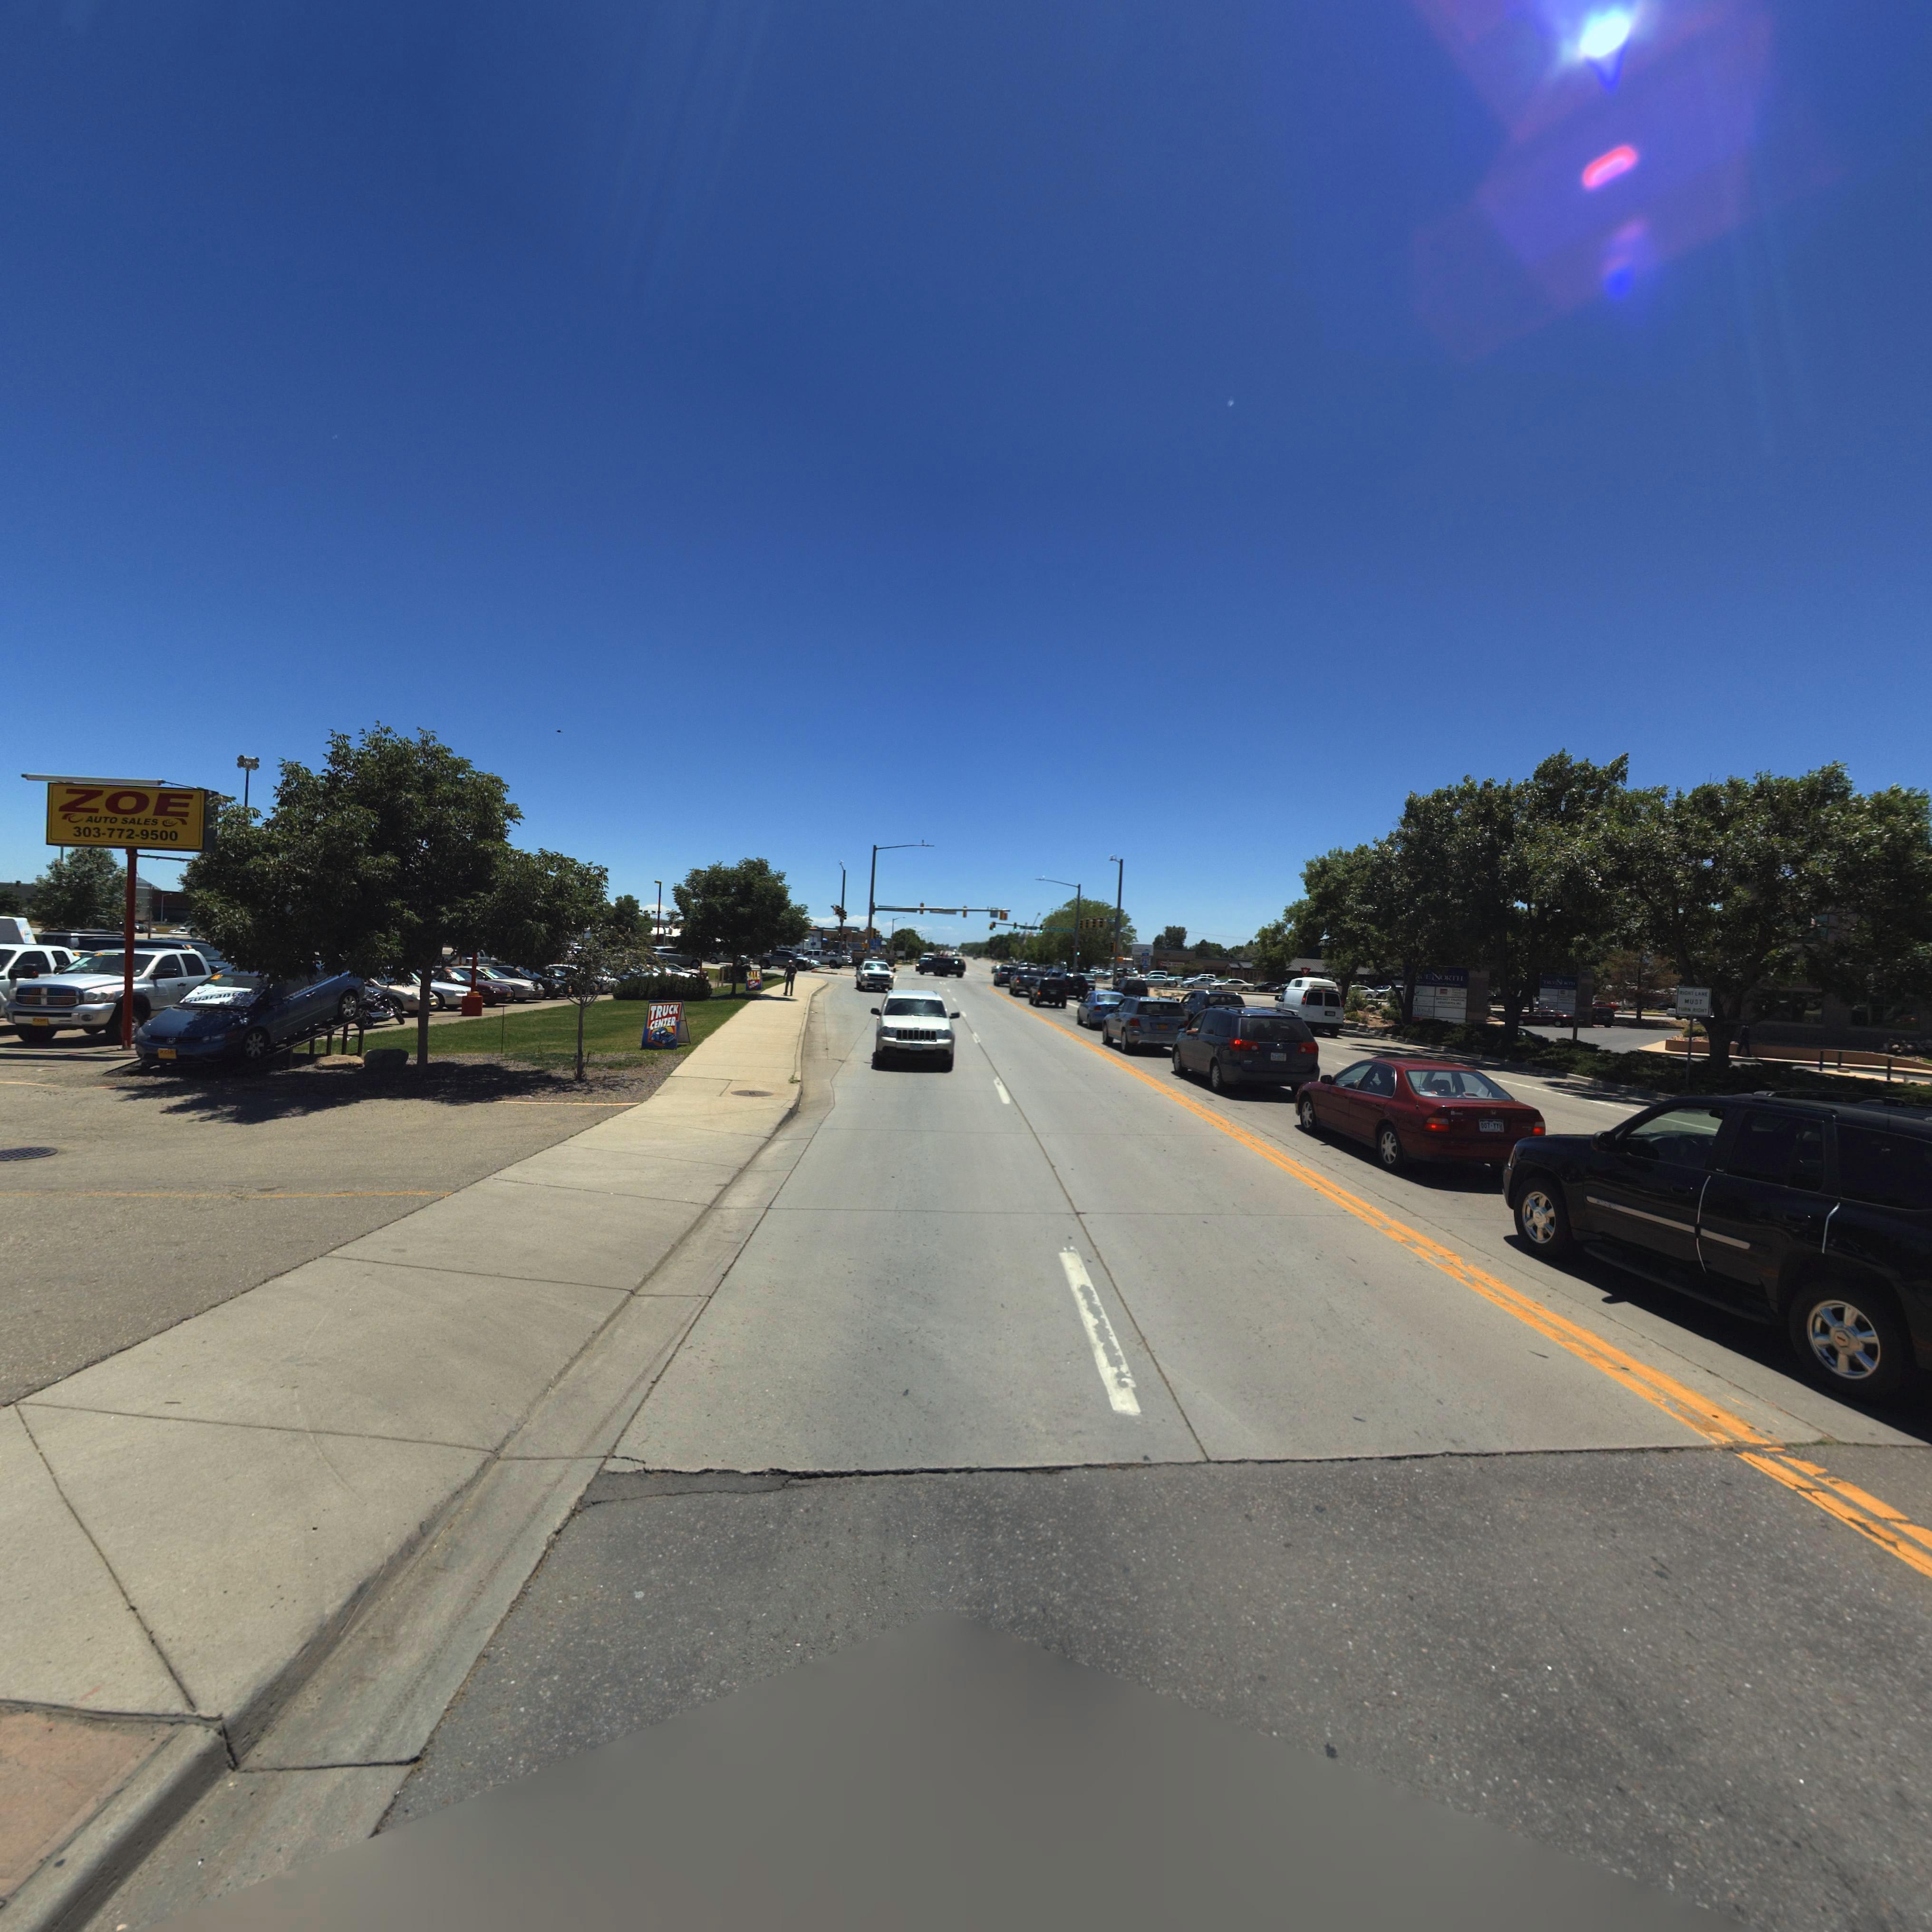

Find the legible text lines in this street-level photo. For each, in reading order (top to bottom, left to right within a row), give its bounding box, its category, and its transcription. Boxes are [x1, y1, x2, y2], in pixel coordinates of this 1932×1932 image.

[58, 787, 194, 817] BusinessName: ZOE
[85, 815, 158, 826] BusinessName: AUTO SALES